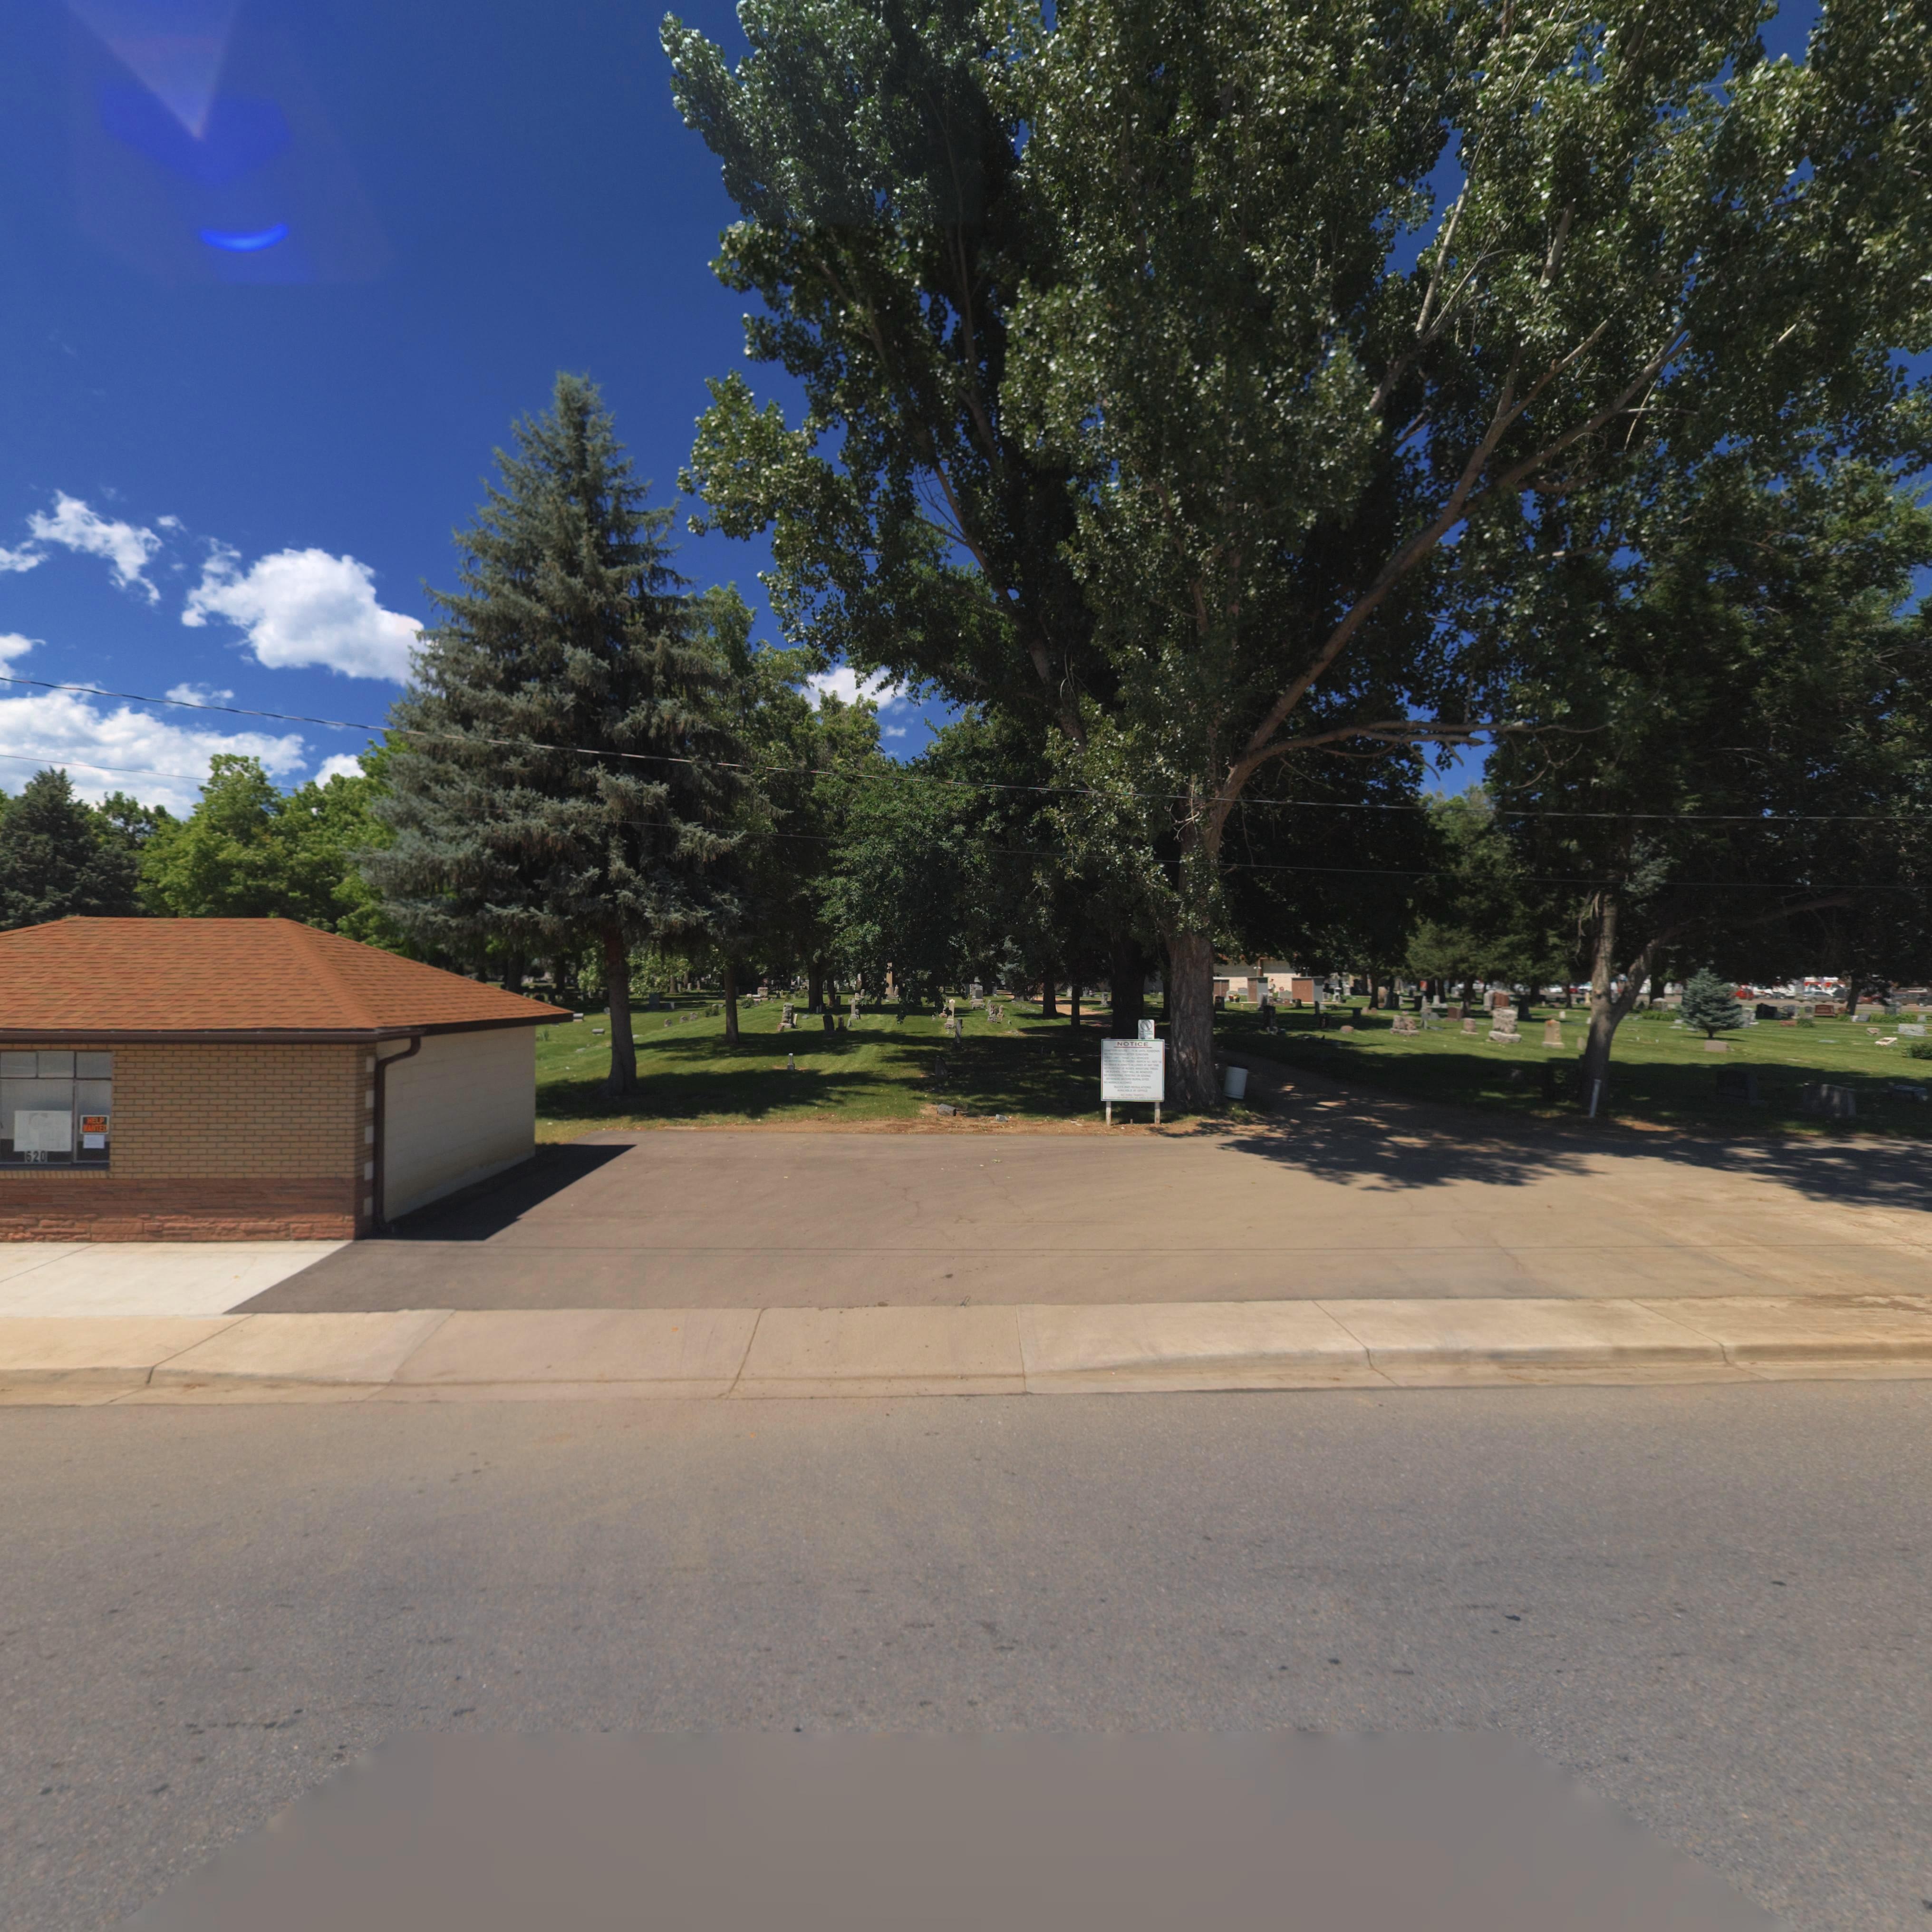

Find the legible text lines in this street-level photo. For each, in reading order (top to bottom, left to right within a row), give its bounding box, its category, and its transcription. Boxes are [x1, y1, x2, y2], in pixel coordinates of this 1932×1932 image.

[25, 1150, 46, 1163] StreetNumber: 620